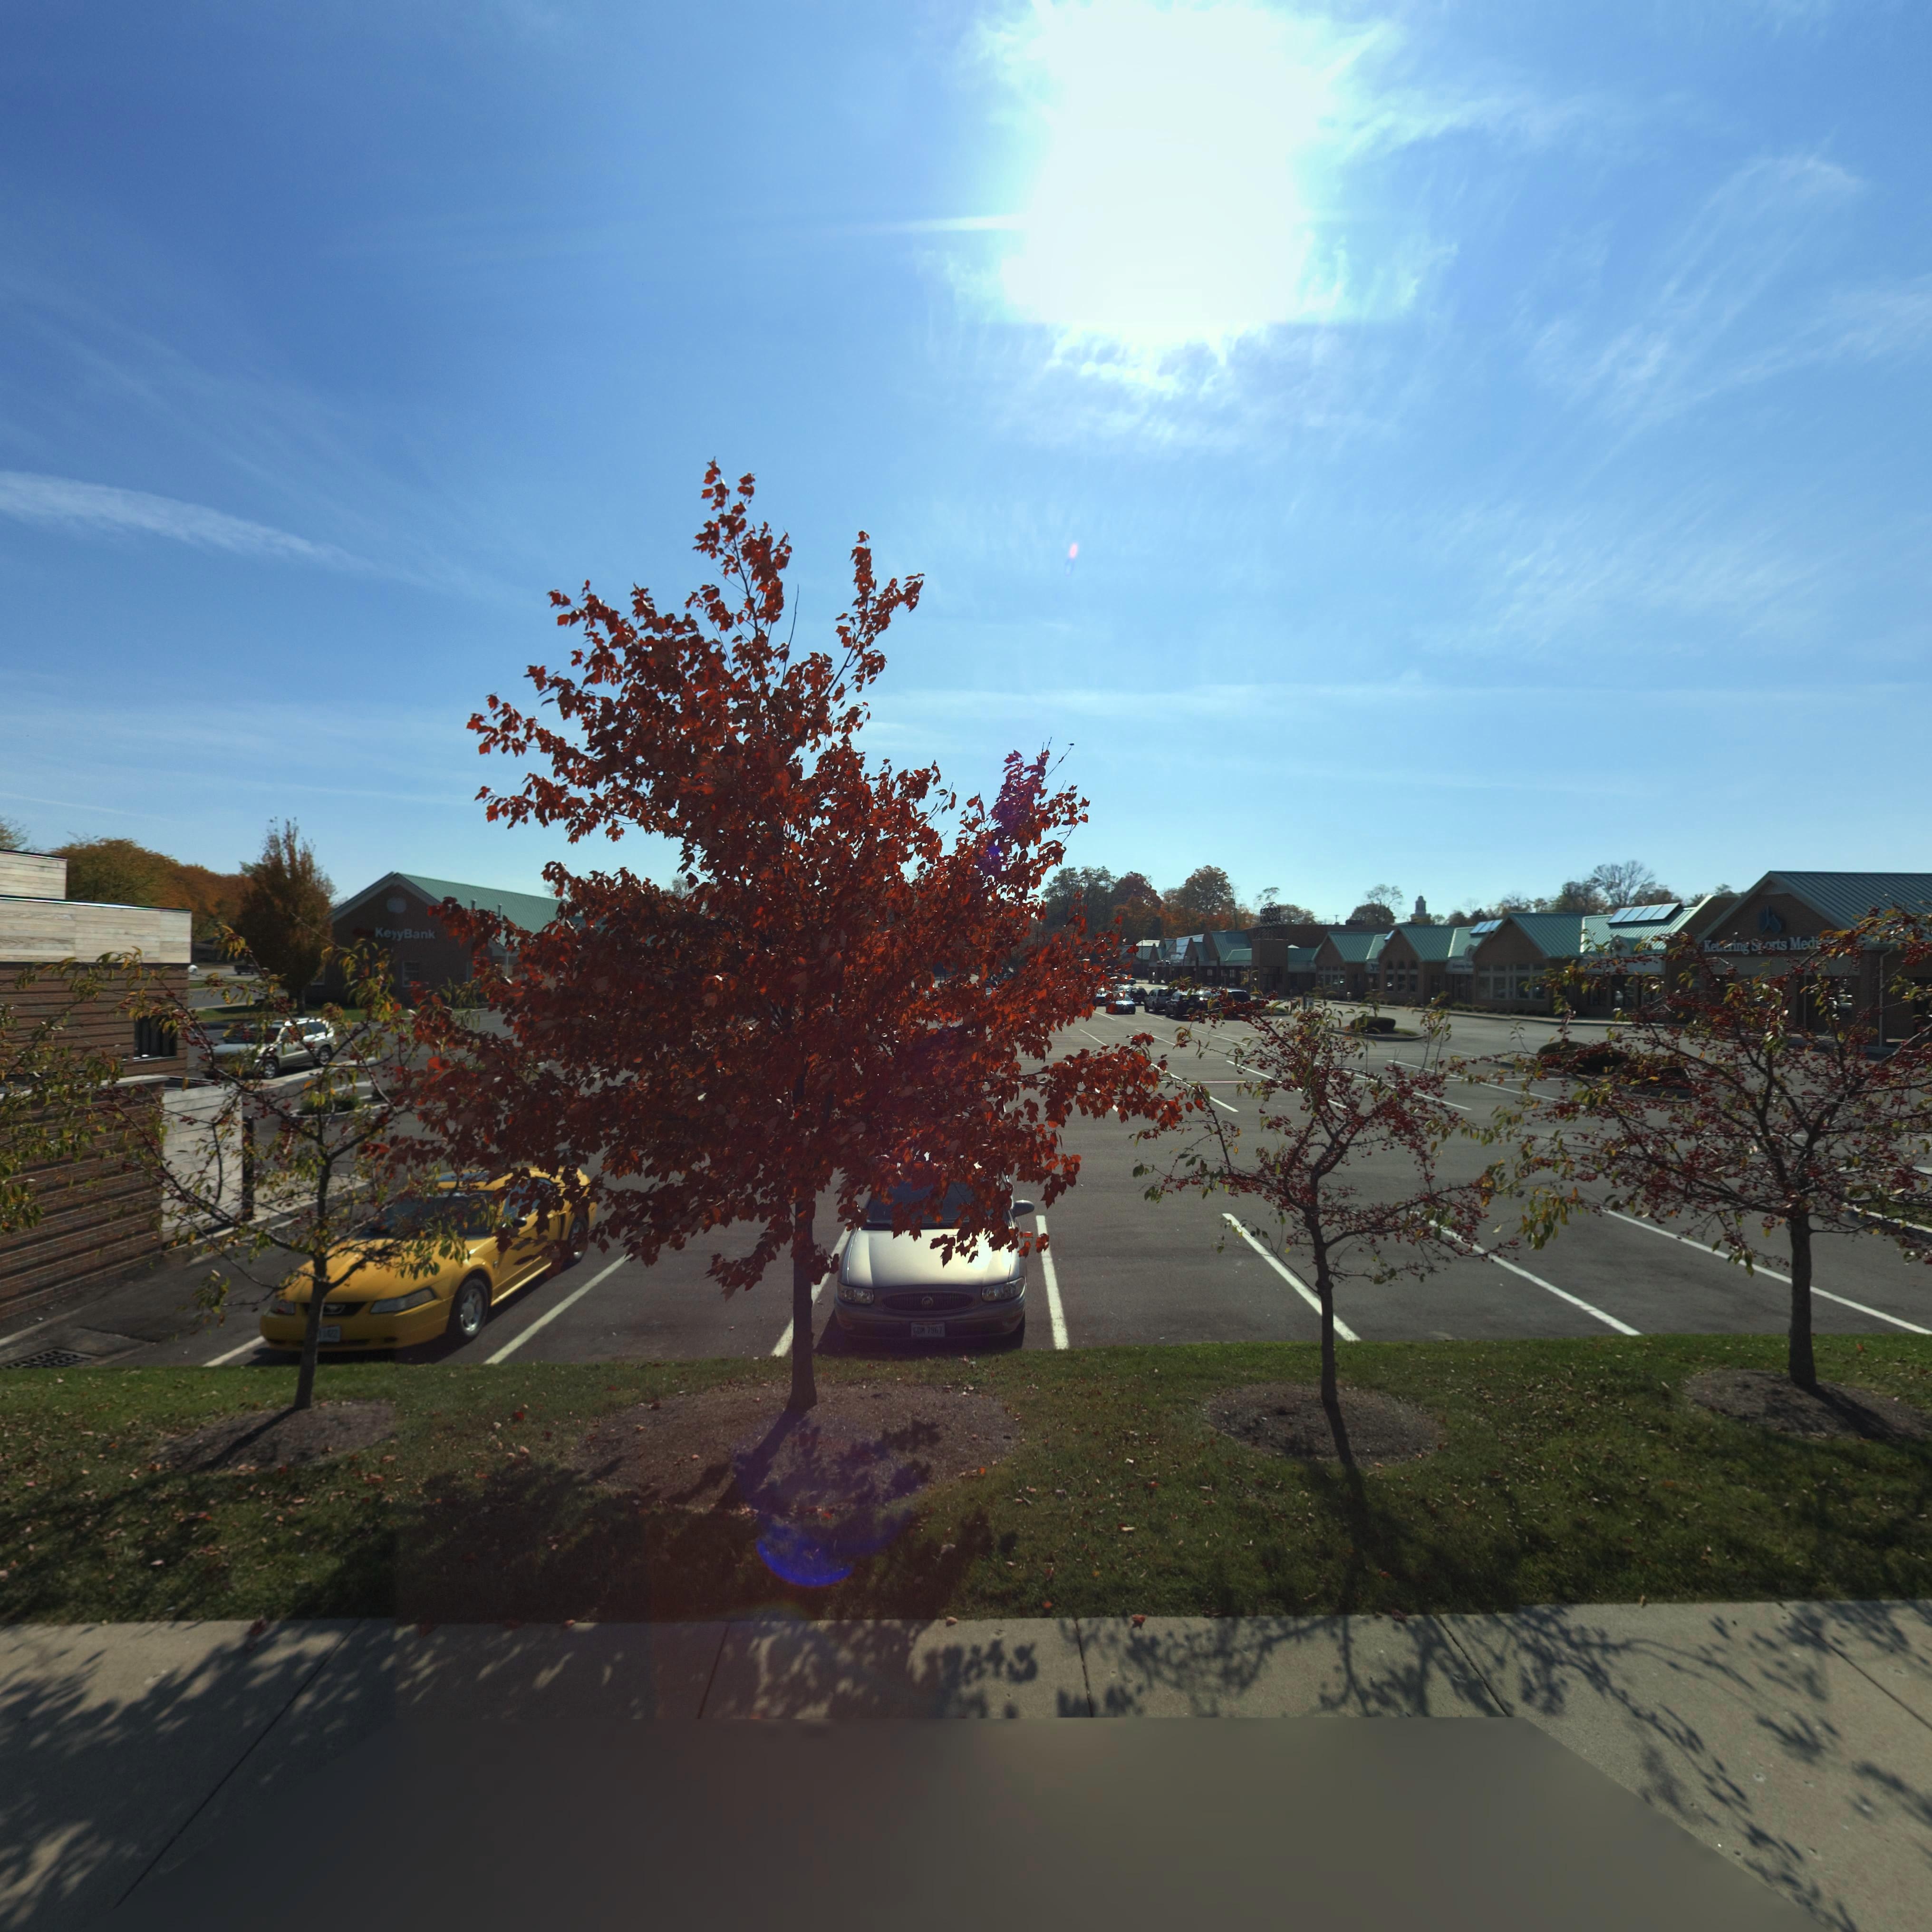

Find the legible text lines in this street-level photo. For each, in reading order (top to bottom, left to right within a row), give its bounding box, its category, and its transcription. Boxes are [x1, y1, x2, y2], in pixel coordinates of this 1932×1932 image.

[374, 925, 437, 942] BusinessName: Ke*yBank
[1701, 934, 1816, 956] BusinessName: Ket***ing ***rts Med